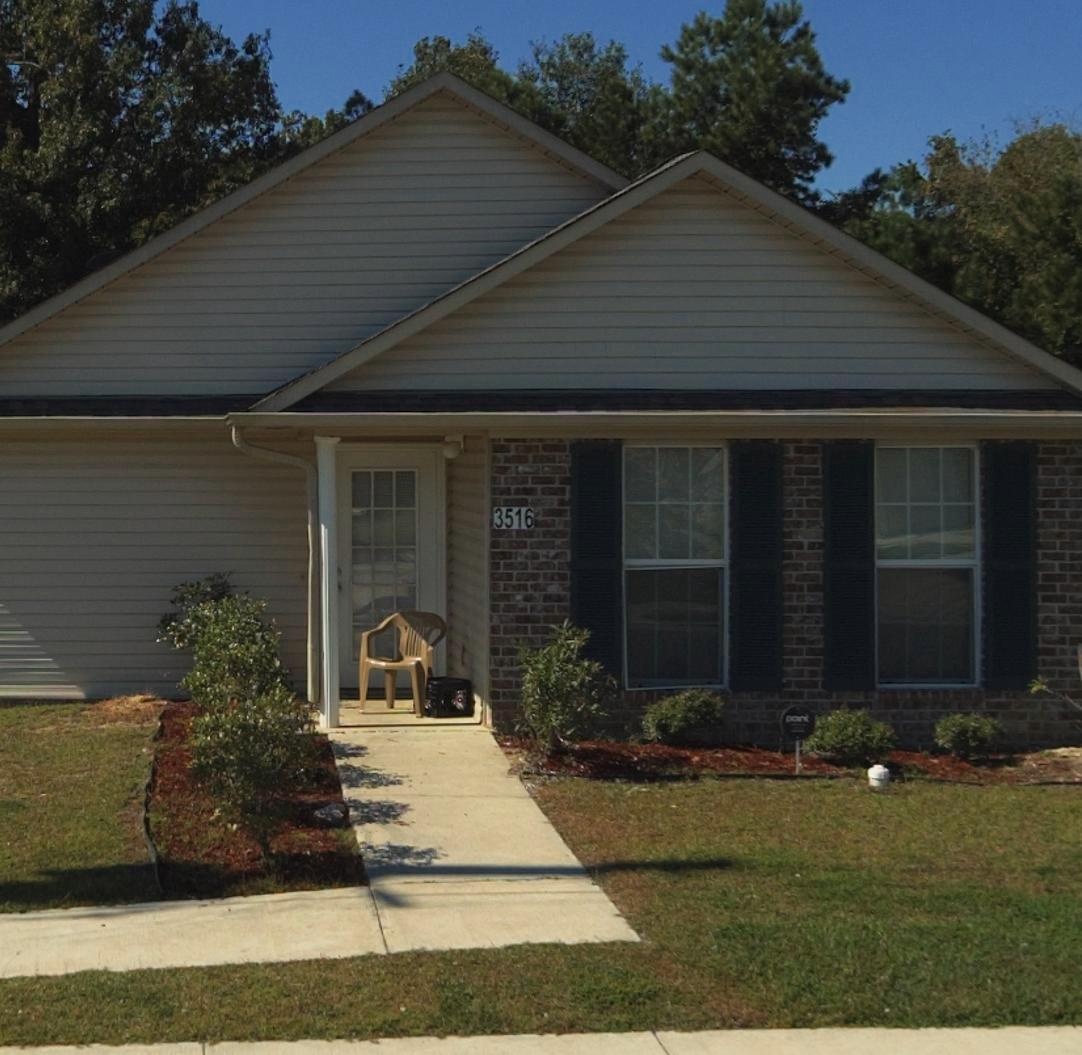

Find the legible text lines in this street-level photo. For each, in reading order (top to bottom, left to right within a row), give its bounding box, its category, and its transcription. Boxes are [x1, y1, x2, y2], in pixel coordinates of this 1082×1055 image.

[494, 507, 534, 529] StreetNumber: 3516